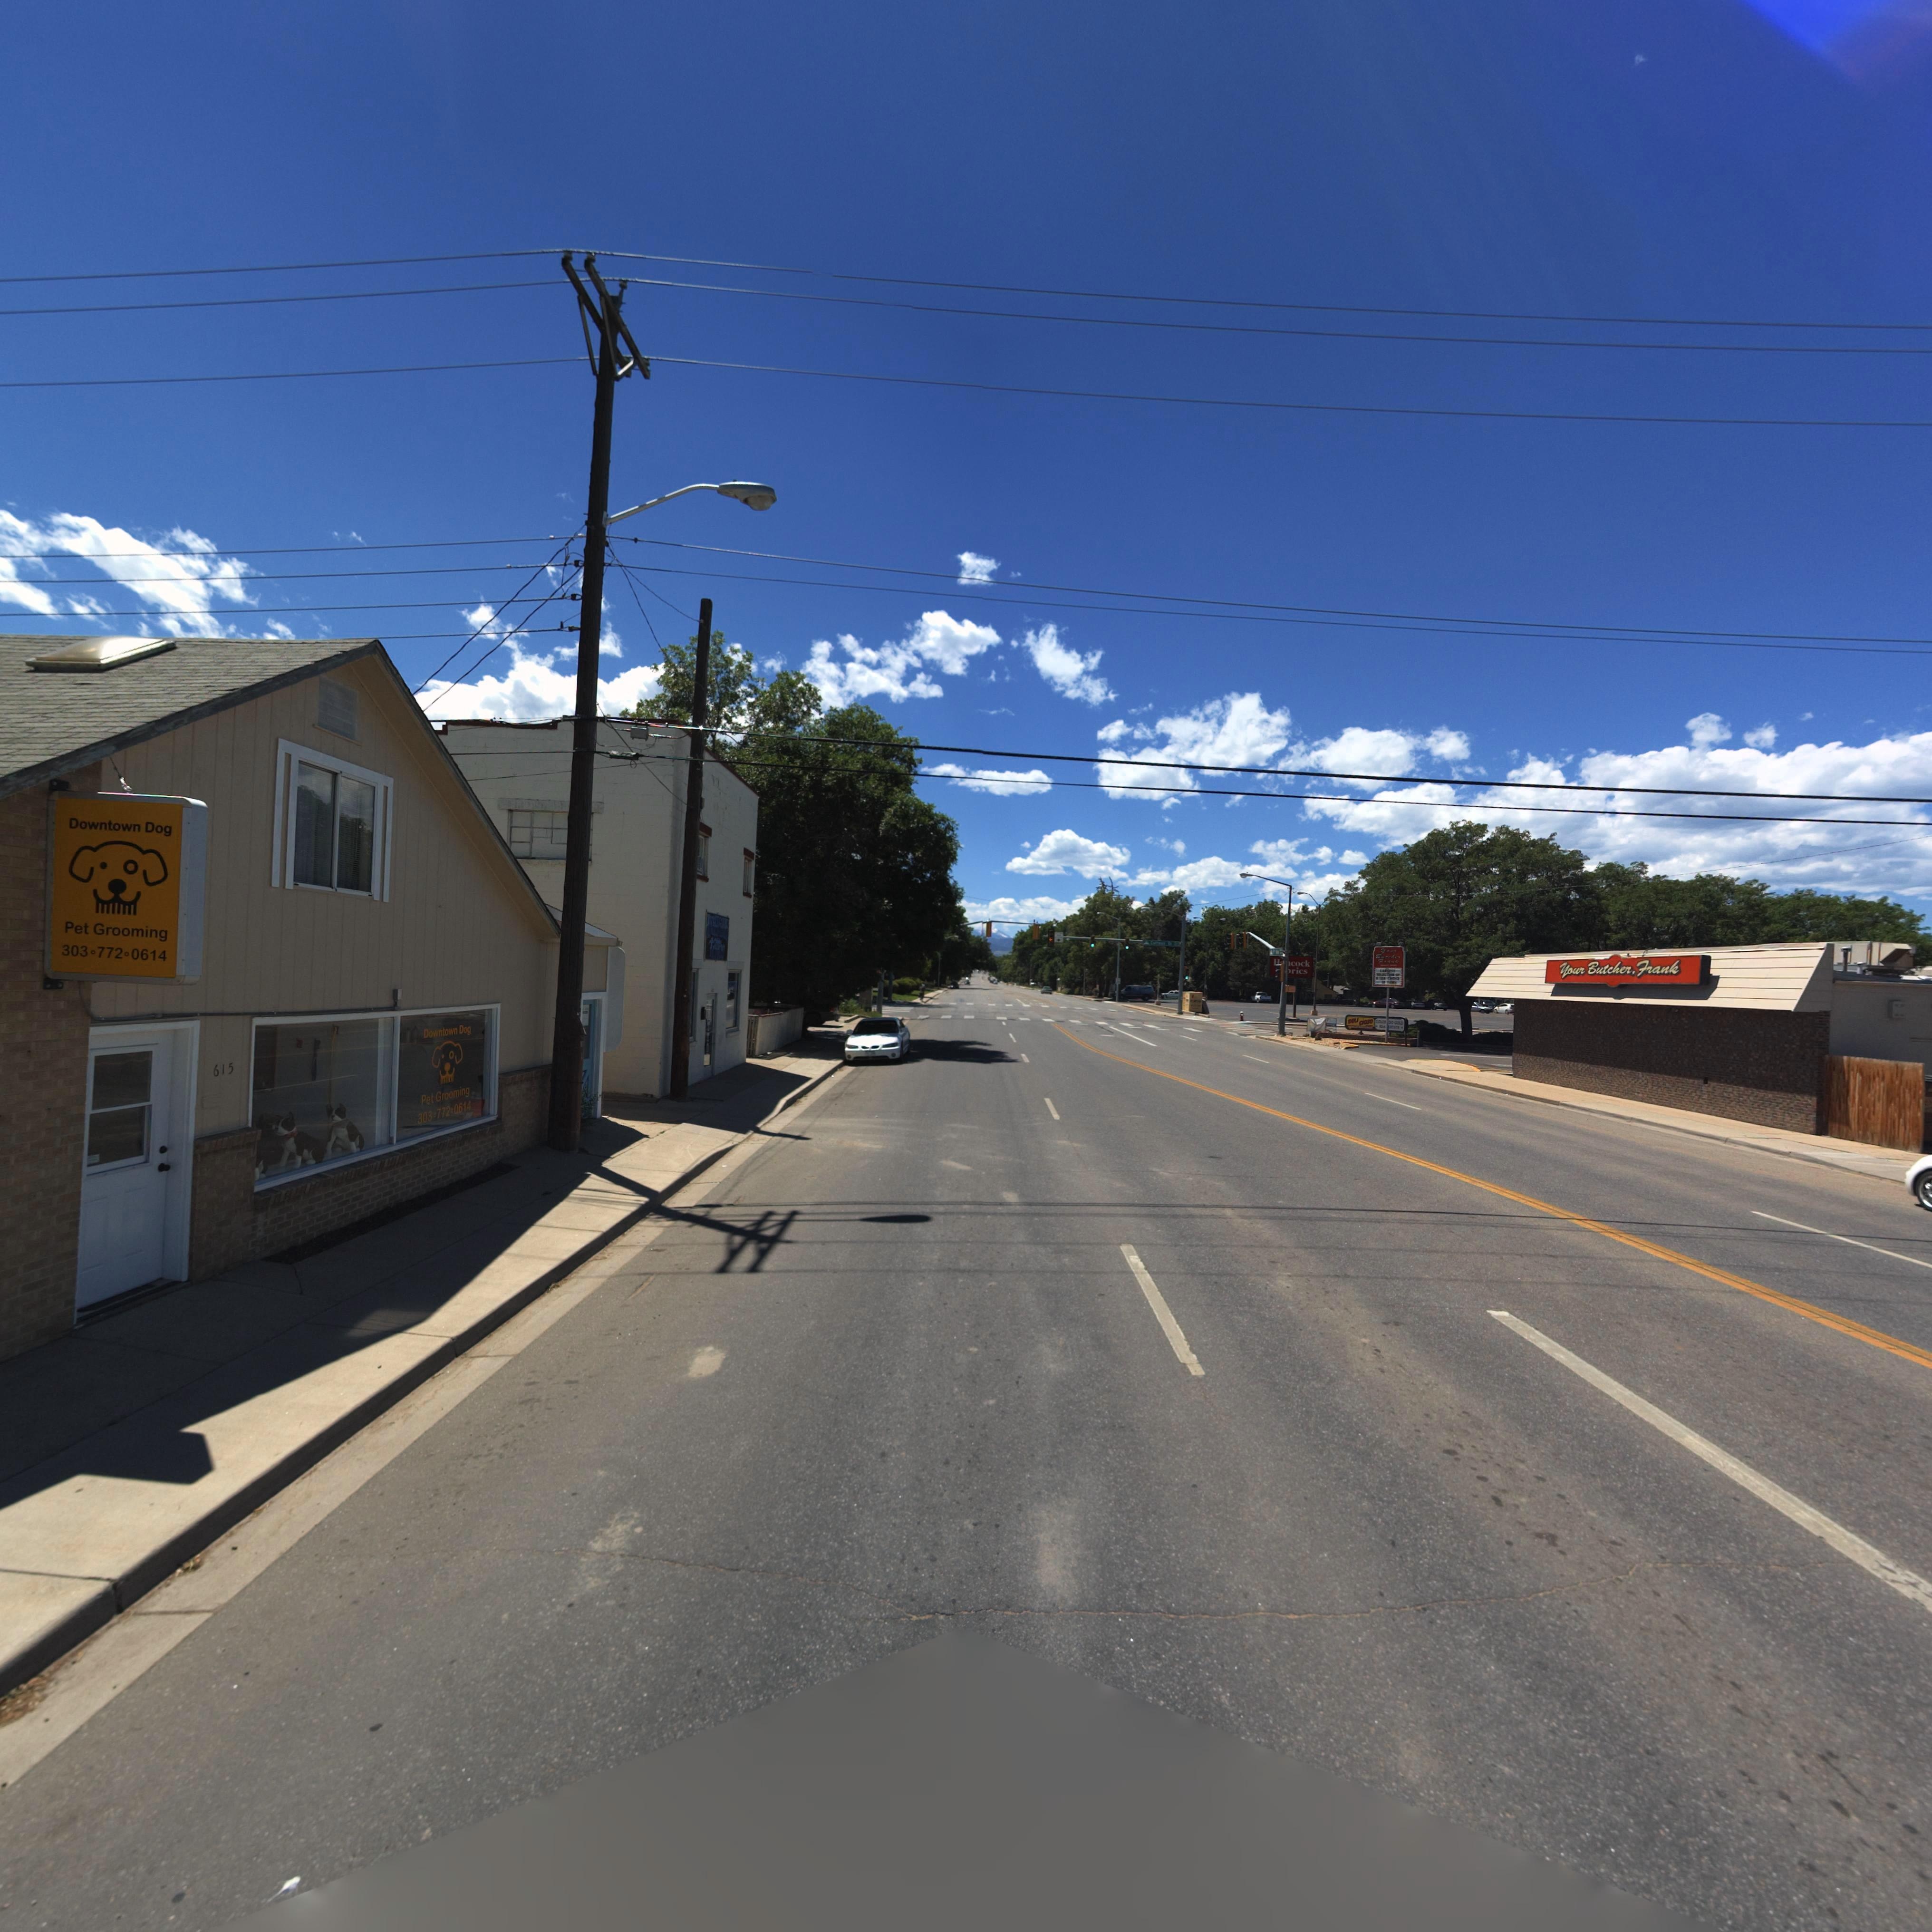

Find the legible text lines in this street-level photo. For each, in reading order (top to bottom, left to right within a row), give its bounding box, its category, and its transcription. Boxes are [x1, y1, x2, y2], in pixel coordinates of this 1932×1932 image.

[68, 817, 173, 837] BusinessName: Downtown Dog
[64, 920, 168, 942] BusinessName: Pet Grooming
[706, 913, 729, 944] BusinessName: I*********
[708, 936, 725, 960] BusinessName: ta****
[1150, 940, 1172, 946] StreetName: Co****n St
[1272, 949, 1275, 955] StreetName: 9**
[1375, 953, 1401, 959] BusinessName: ****h**
[1380, 947, 1397, 954] BusinessName: Your
[1274, 957, 1310, 967] BusinessName: H**cock
[1377, 958, 1399, 964] BusinessName: Frank
[1287, 966, 1308, 975] BusinessName: *rics
[1558, 958, 1682, 979] BusinessName: Your Butcher, Frank
[1348, 1017, 1359, 1024] BusinessName: DELI
[1358, 1018, 1373, 1025] BusinessName: cioso
[1375, 1019, 1404, 1025] BusinessName: CO****DO GOLD
[423, 1024, 471, 1038] BusinessName: Downtown Dog
[213, 1061, 234, 1077] StreetNumber: 615
[421, 1086, 470, 1106] BusinessName: Pet Grooming